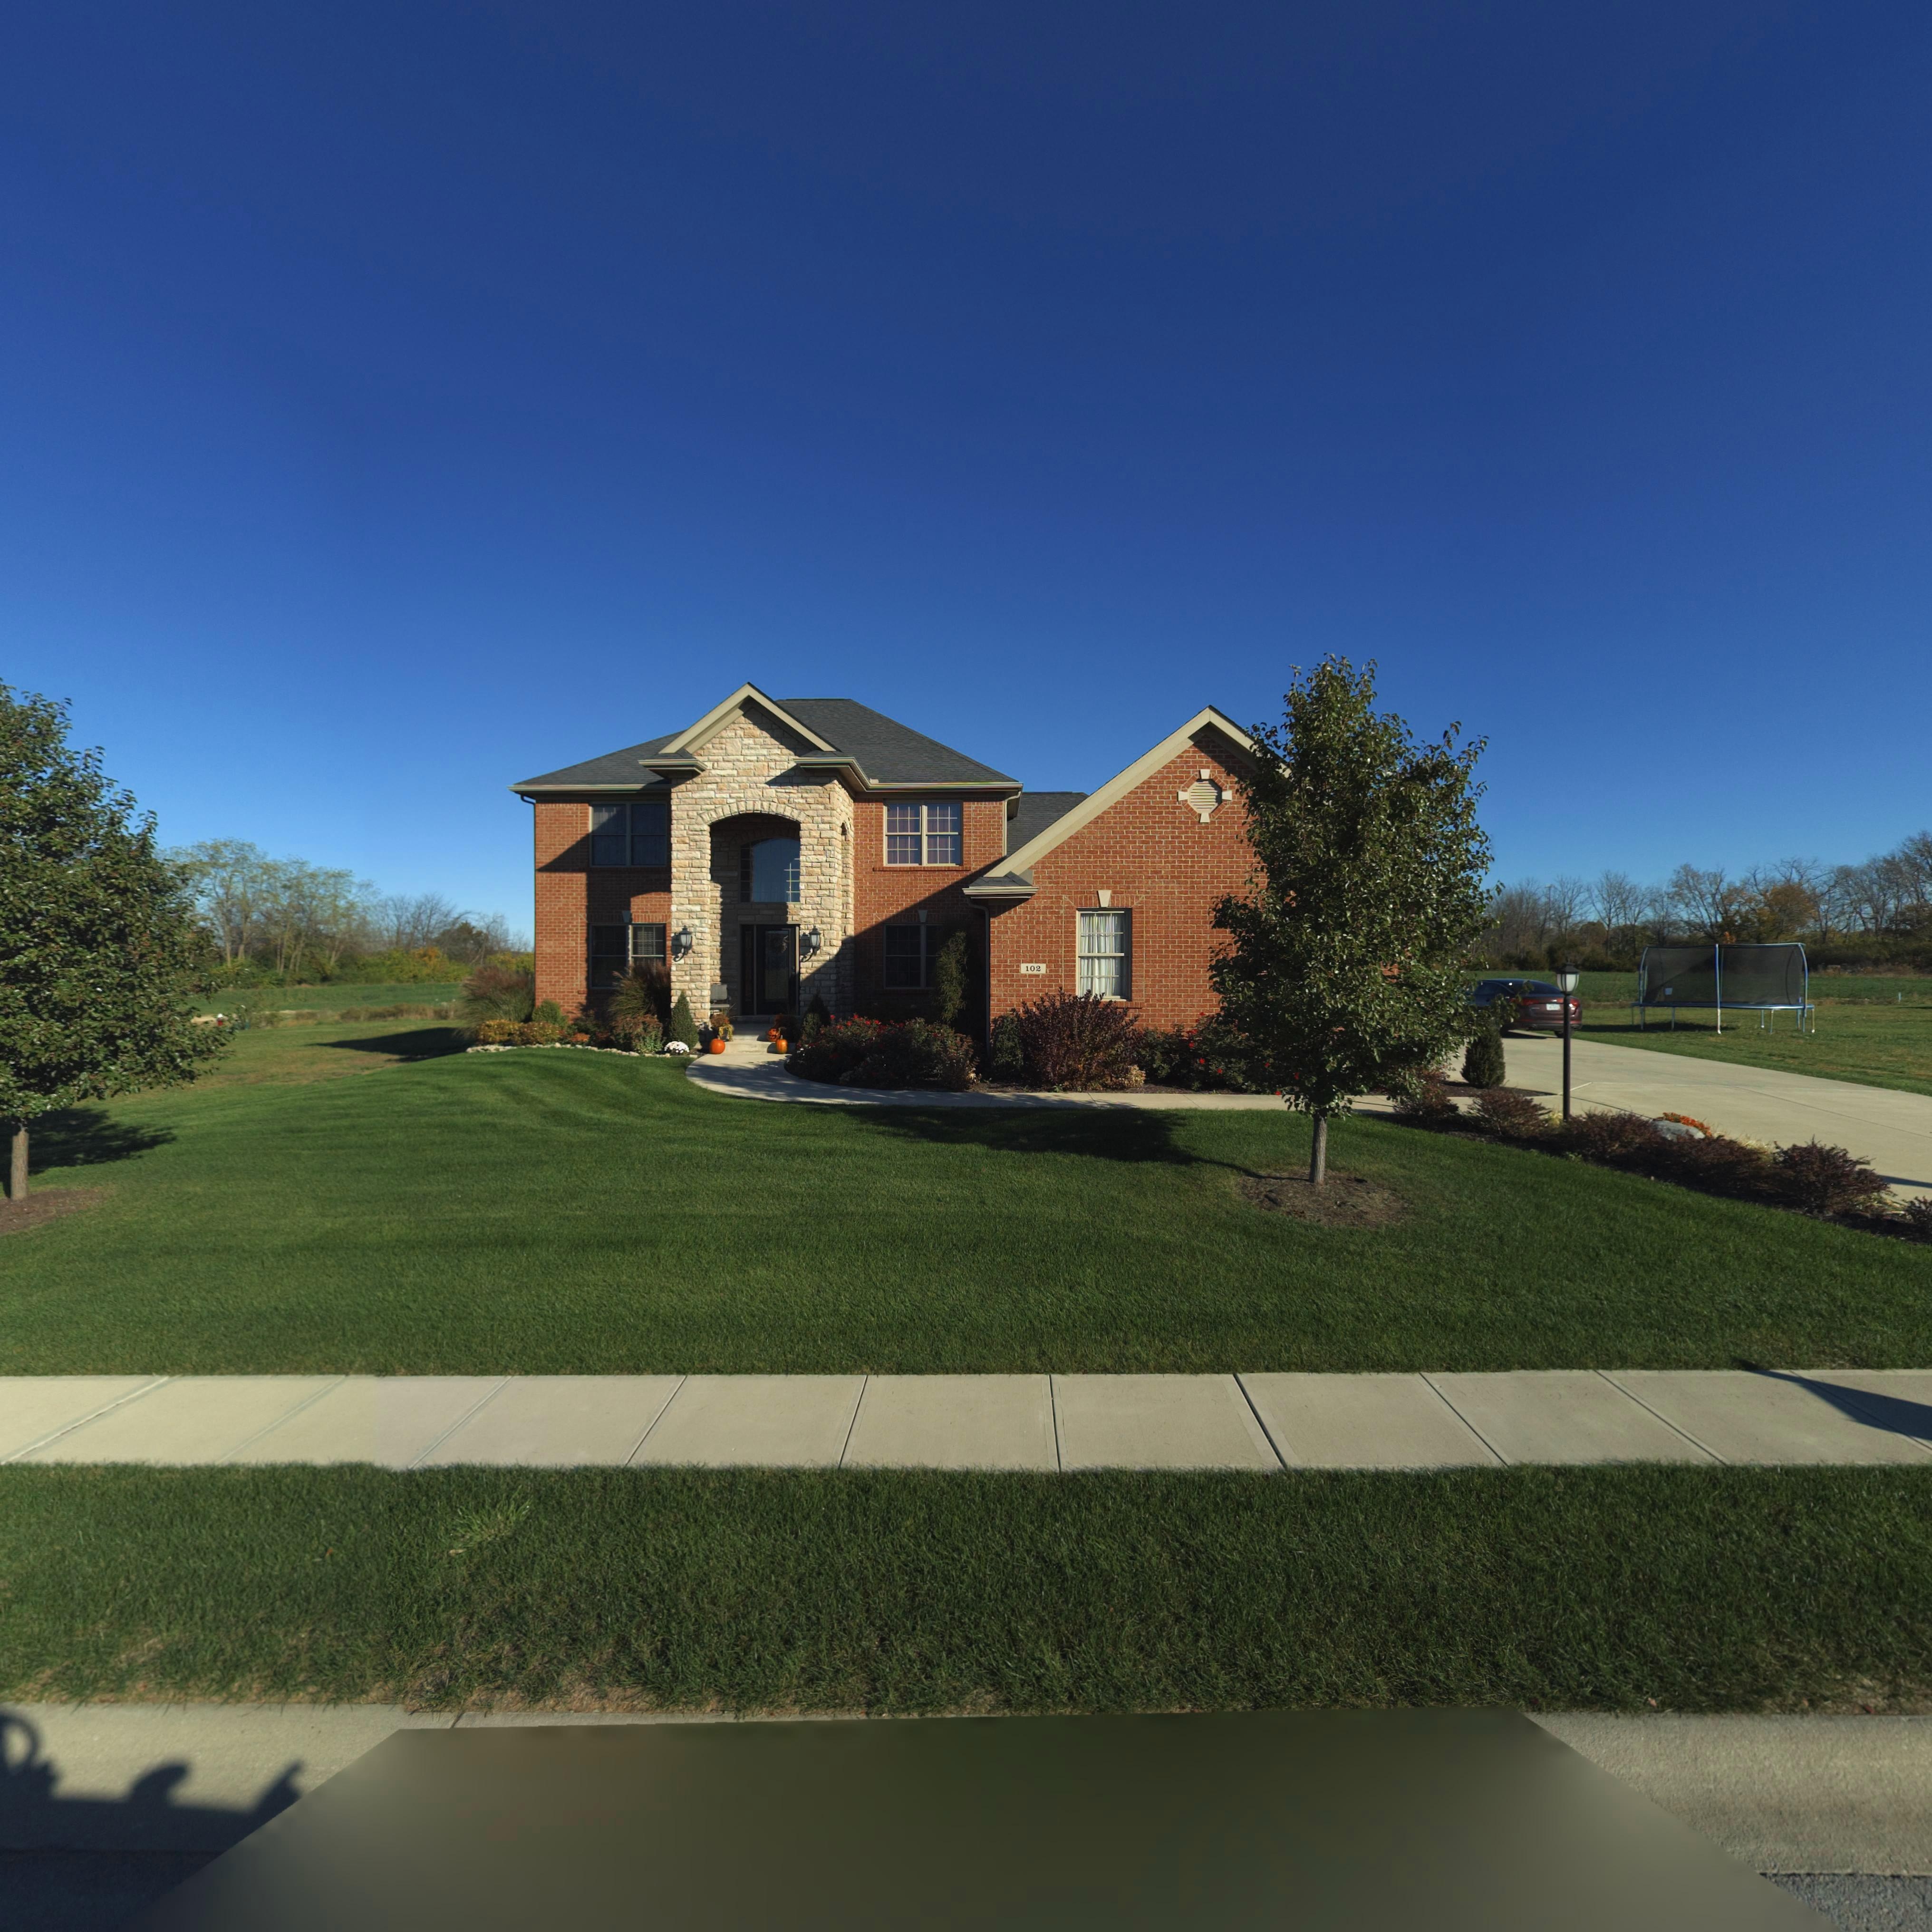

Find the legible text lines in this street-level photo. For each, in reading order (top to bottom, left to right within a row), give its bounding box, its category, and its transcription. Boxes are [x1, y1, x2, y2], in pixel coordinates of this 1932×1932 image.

[1025, 965, 1042, 972] StreetNumber: 102